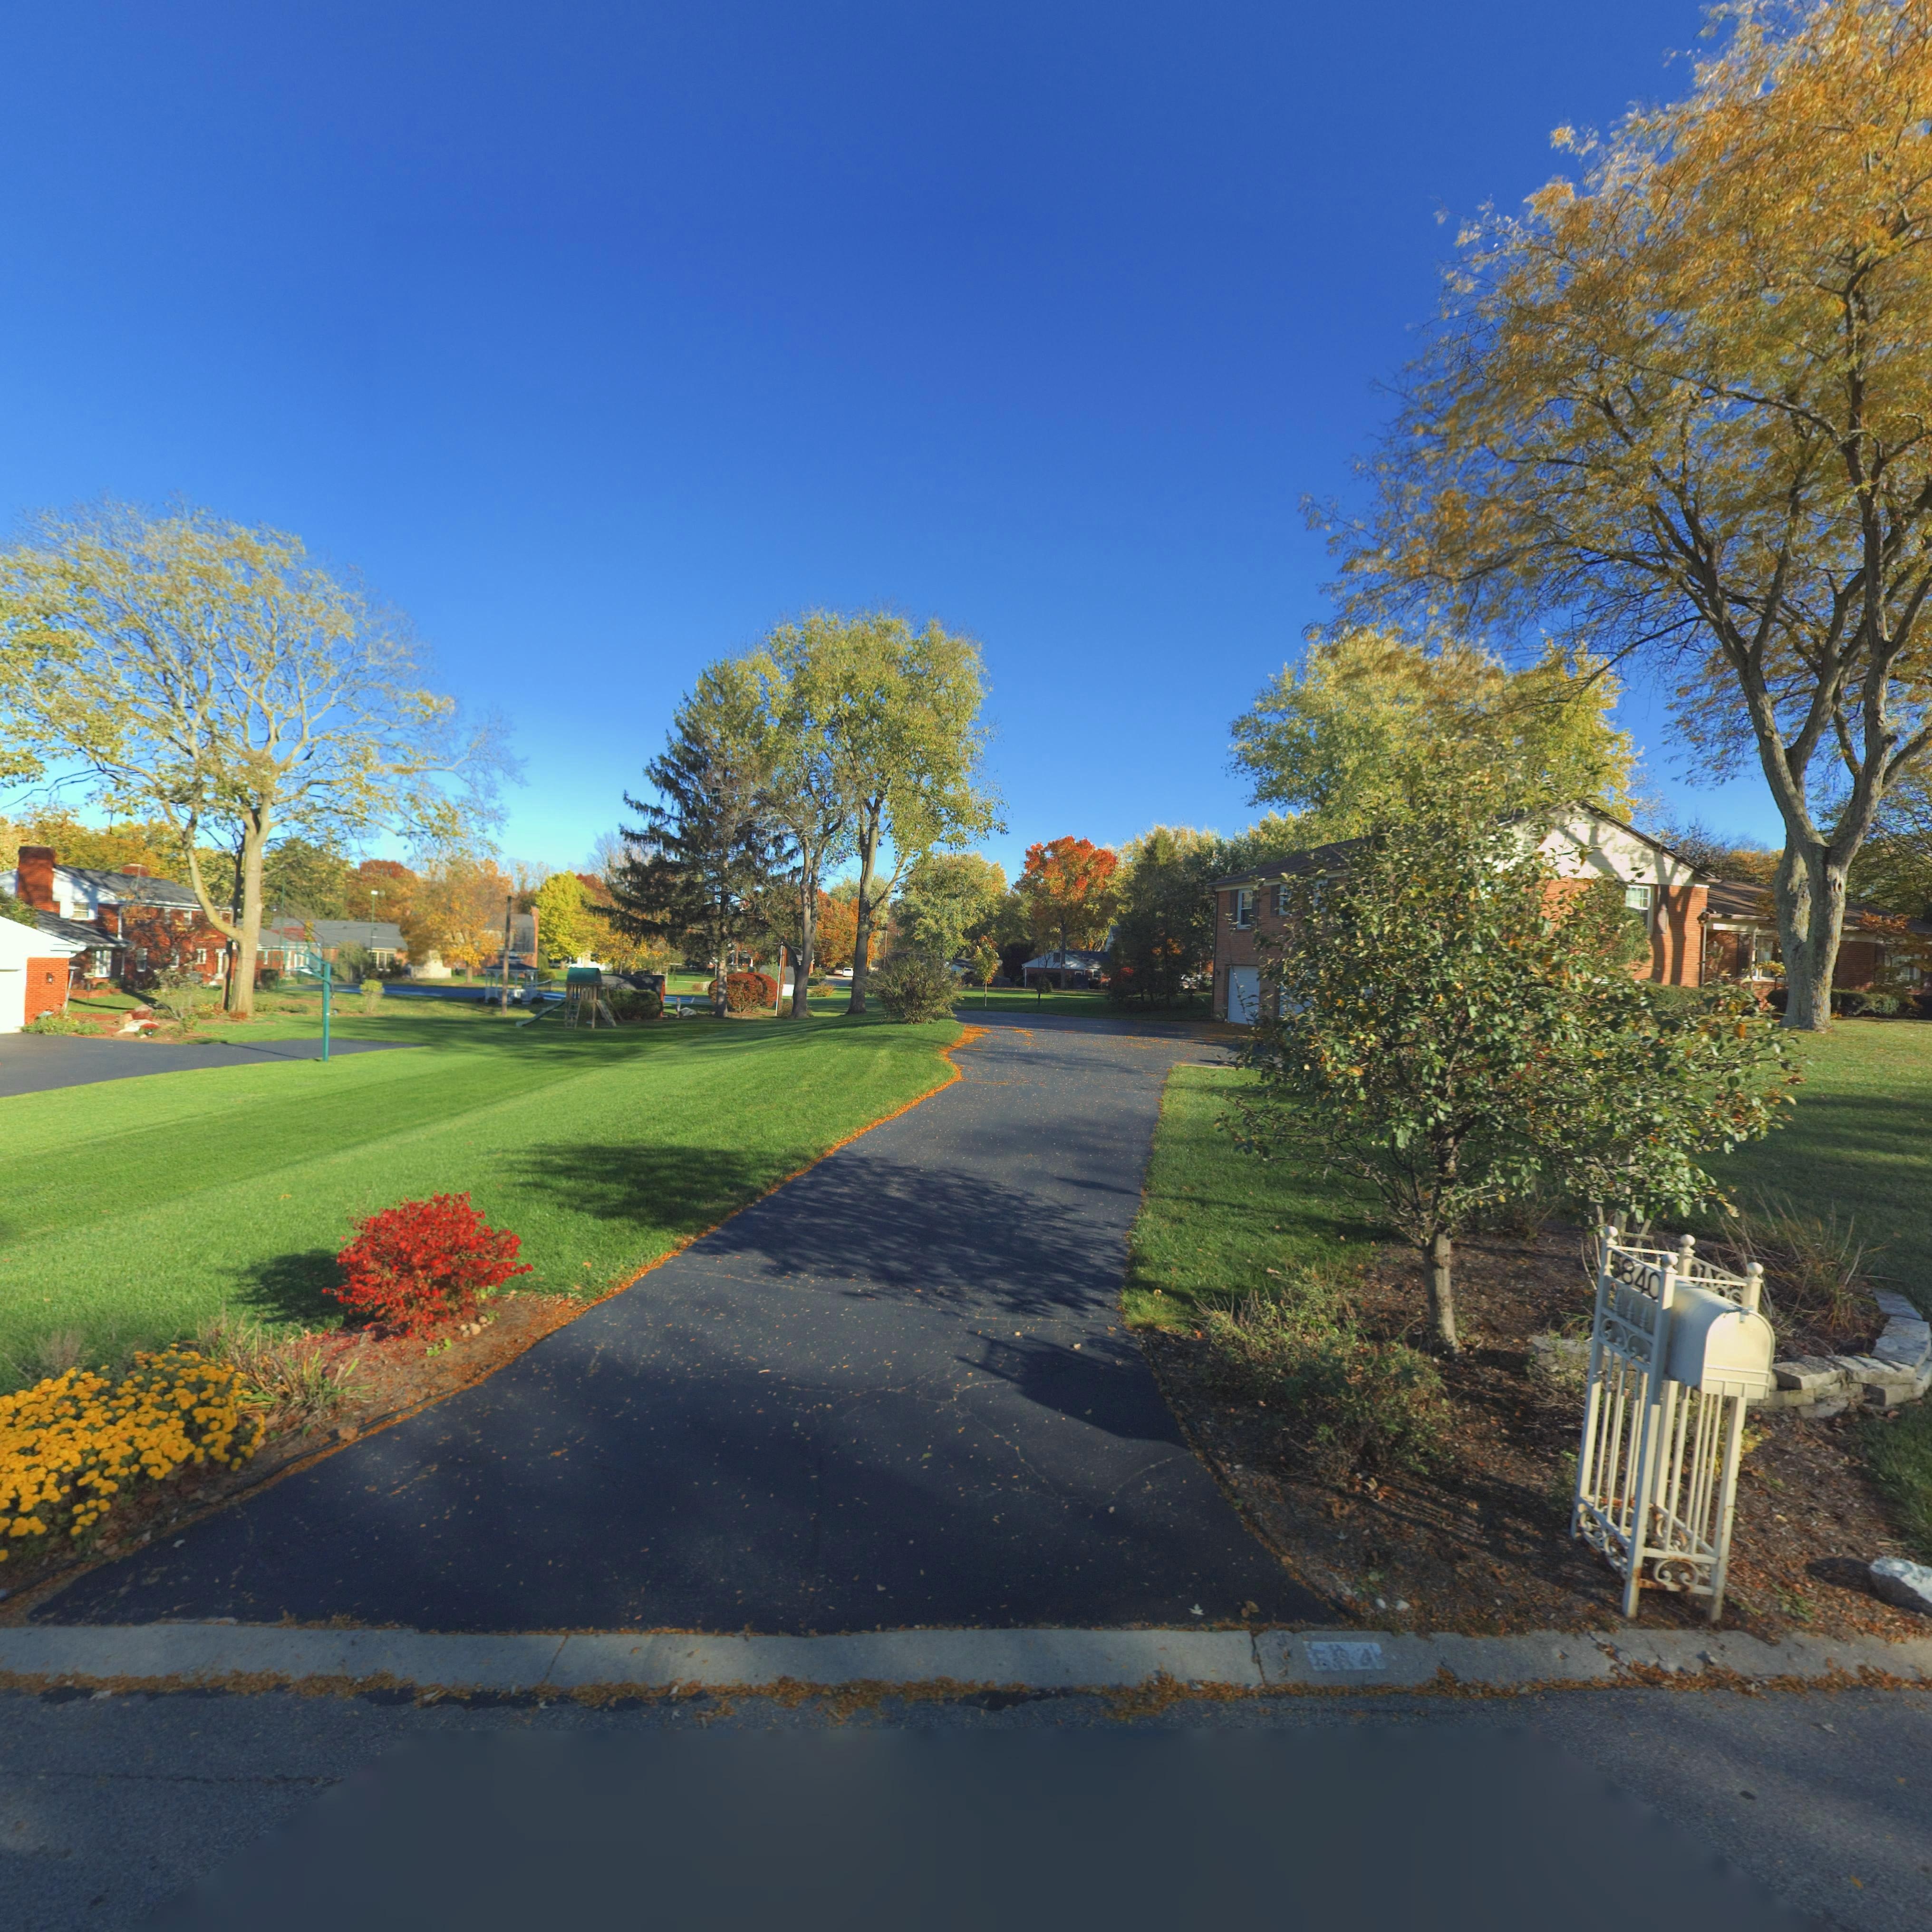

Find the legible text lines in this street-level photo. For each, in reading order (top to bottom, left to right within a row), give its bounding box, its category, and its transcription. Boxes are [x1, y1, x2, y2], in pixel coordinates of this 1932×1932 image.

[1610, 1249, 1662, 1301] StreetNumber: 5840
[1305, 1645, 1381, 1674] StreetNumber: 584